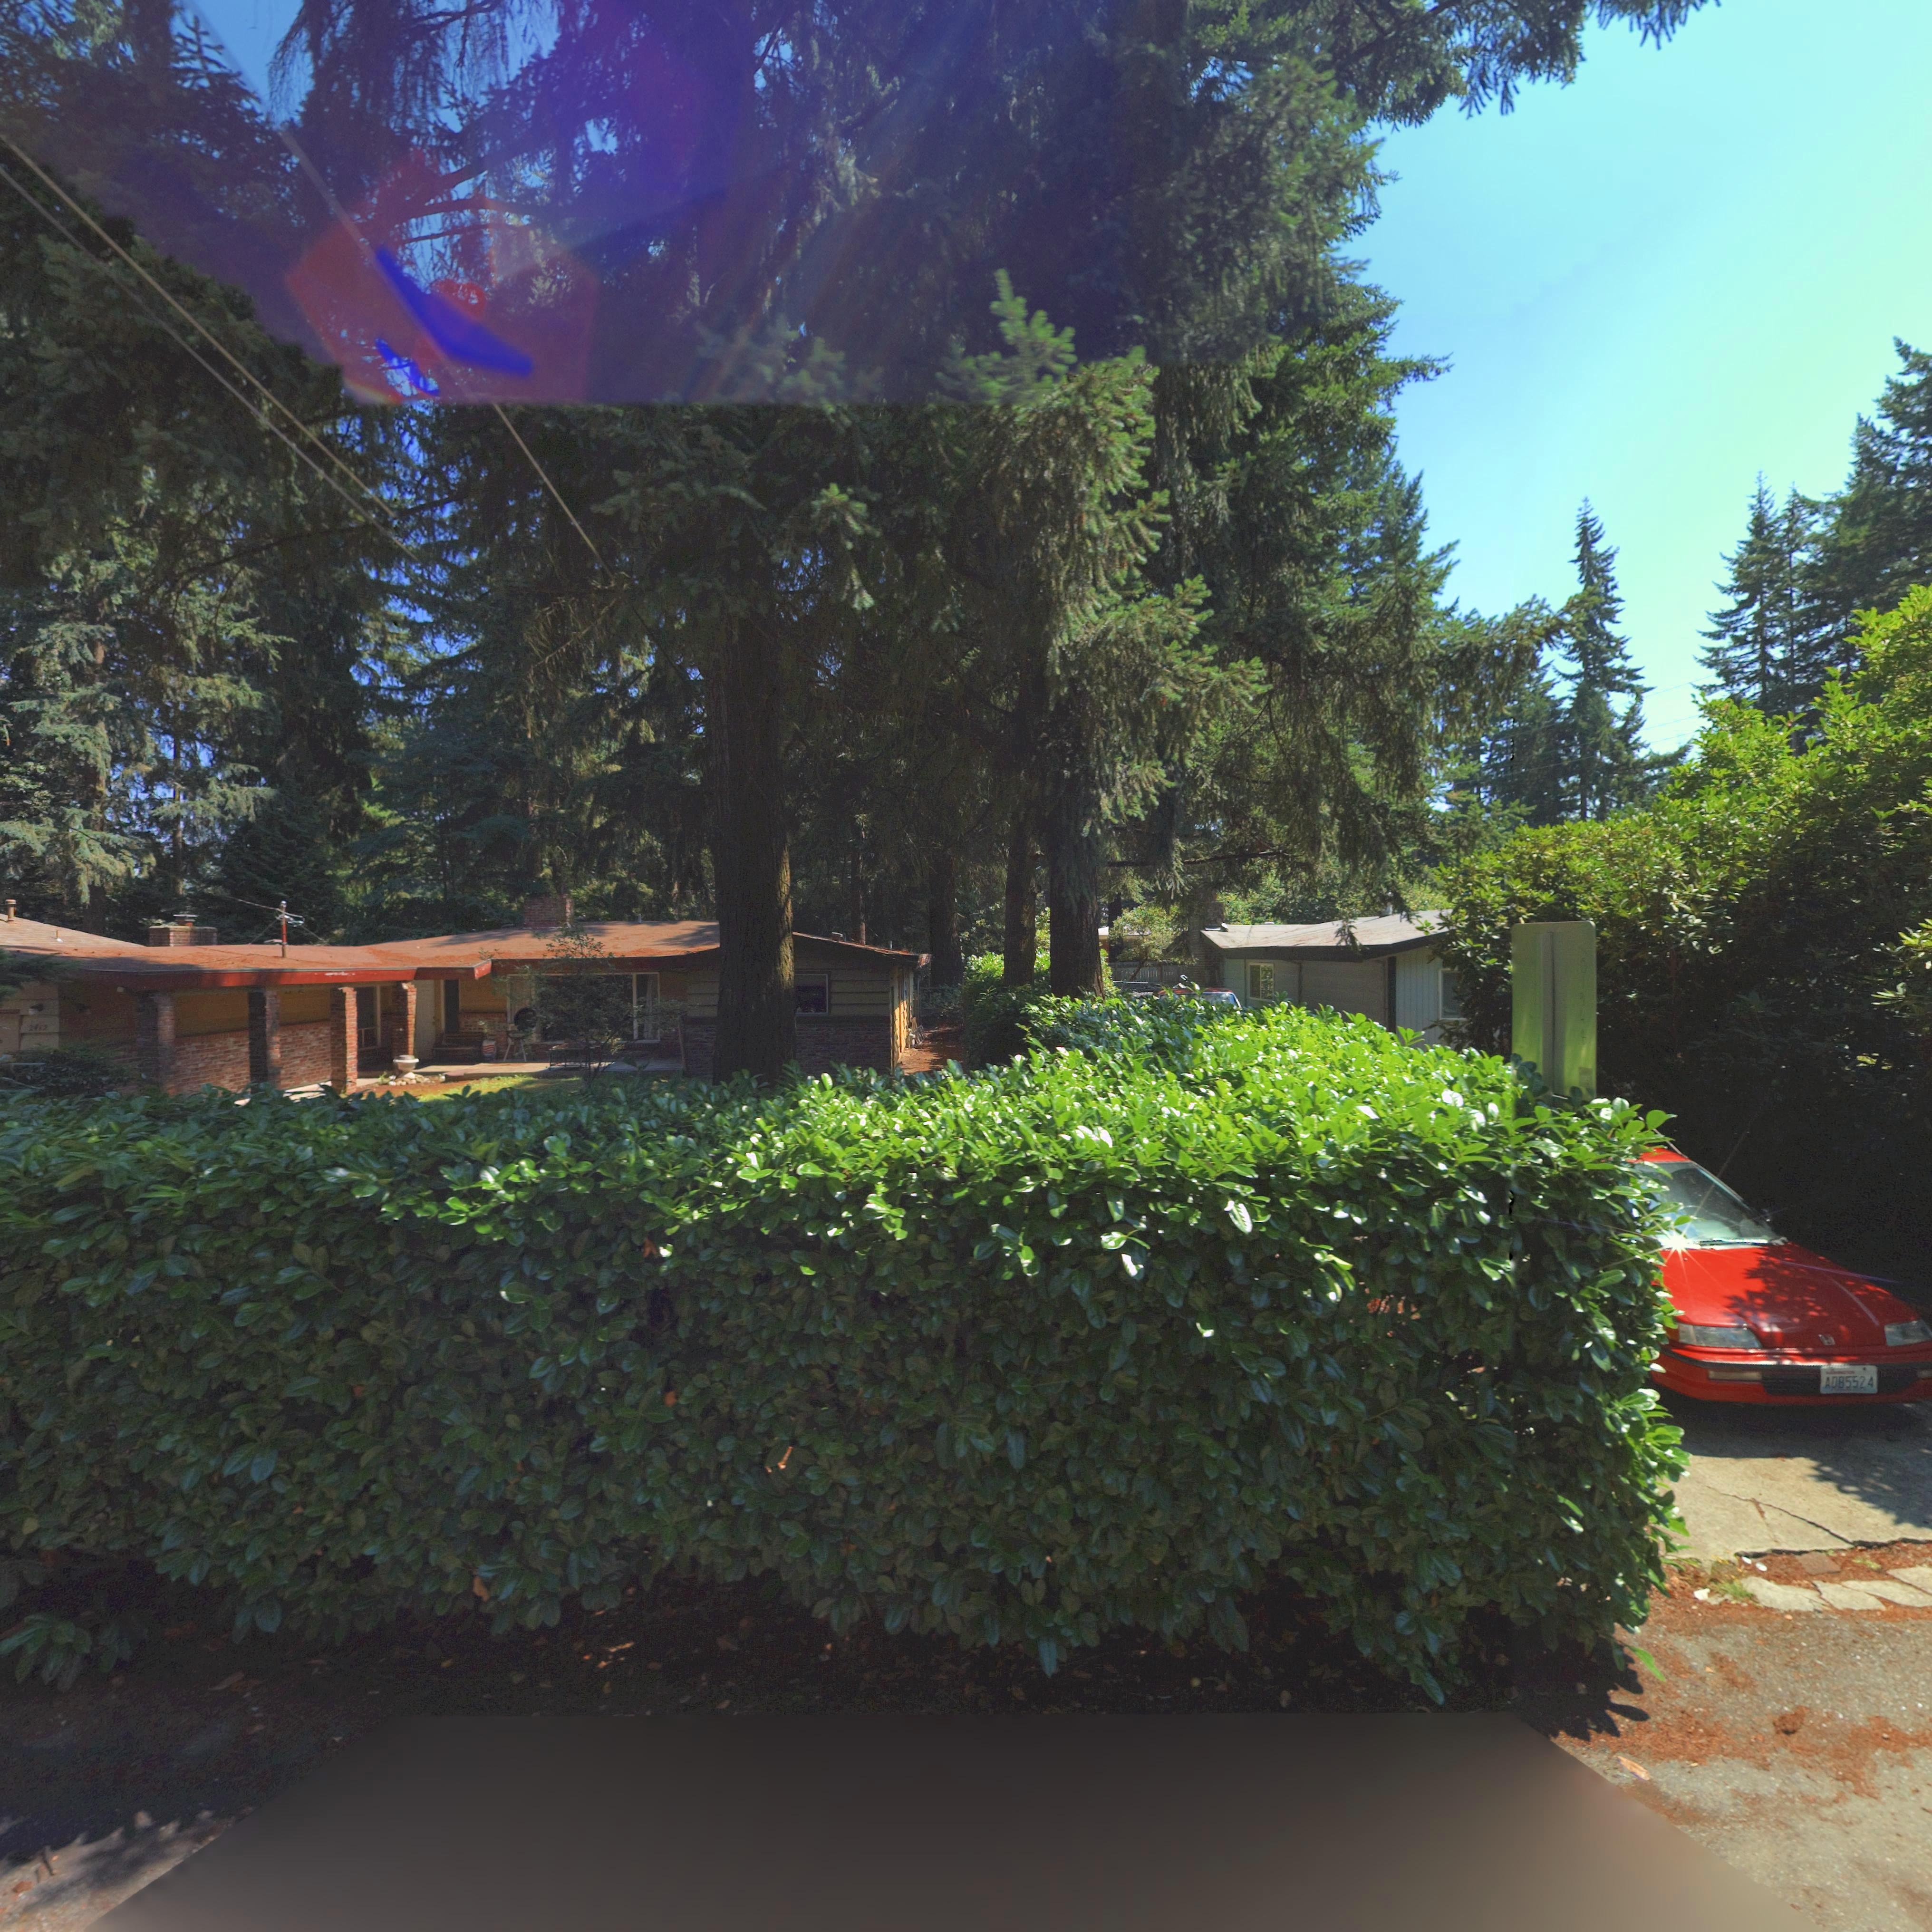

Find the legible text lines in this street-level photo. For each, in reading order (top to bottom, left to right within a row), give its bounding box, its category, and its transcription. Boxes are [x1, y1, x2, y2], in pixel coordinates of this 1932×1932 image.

[28, 1024, 49, 1032] StreetNumber: 2412